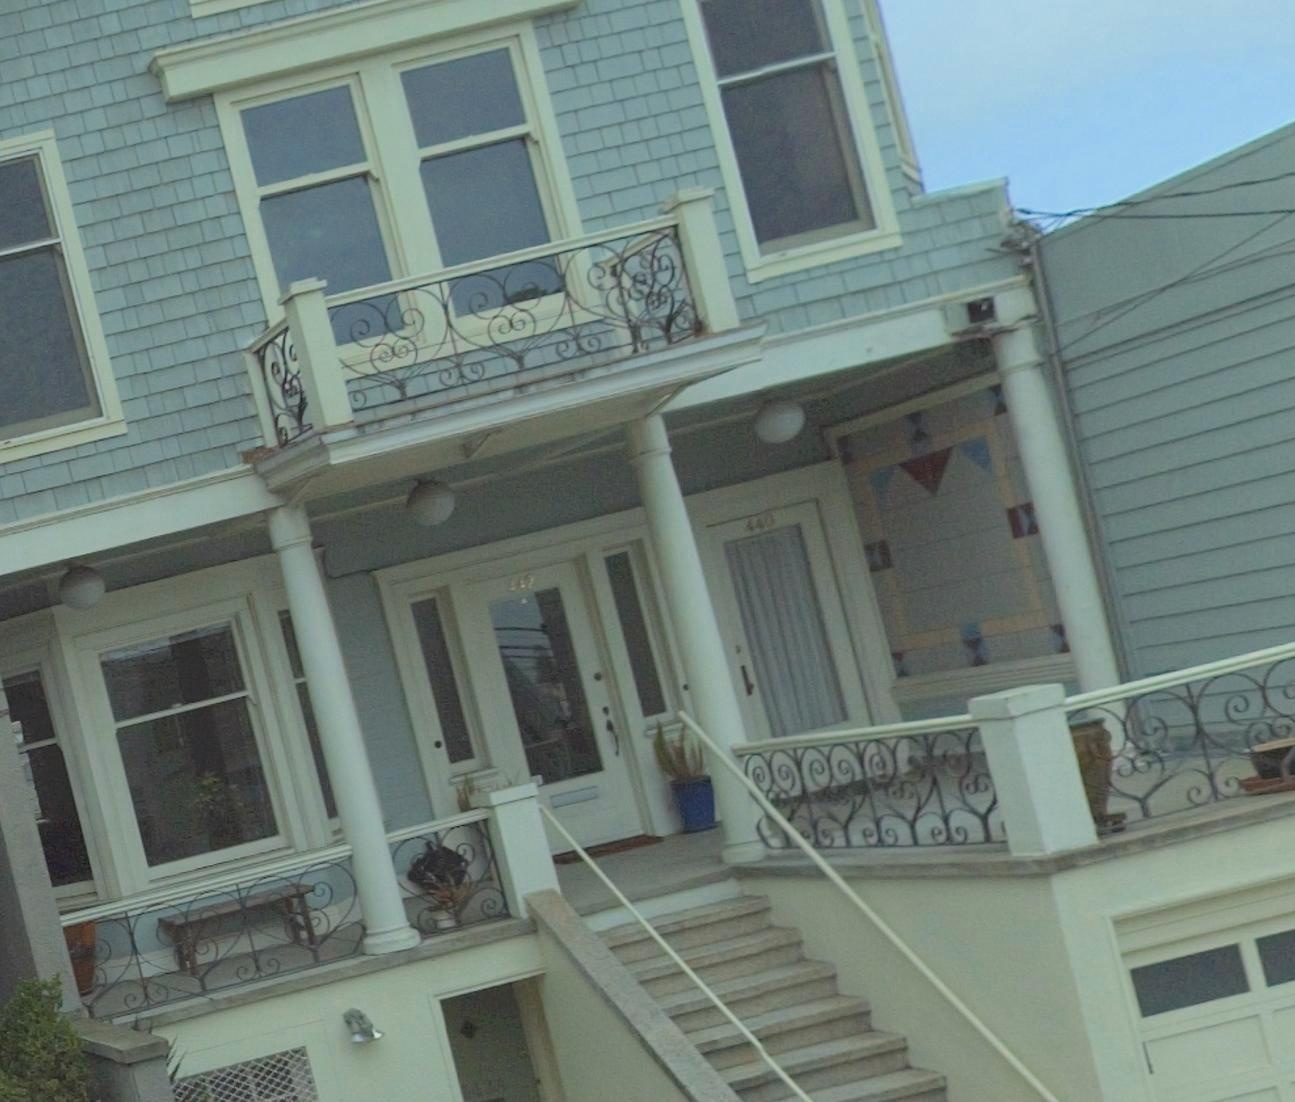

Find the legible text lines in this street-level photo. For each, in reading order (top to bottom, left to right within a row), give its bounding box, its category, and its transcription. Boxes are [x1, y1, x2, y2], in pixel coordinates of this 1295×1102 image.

[742, 511, 778, 535] StreetNumber: 440
[505, 572, 539, 595] StreetNumber: 442